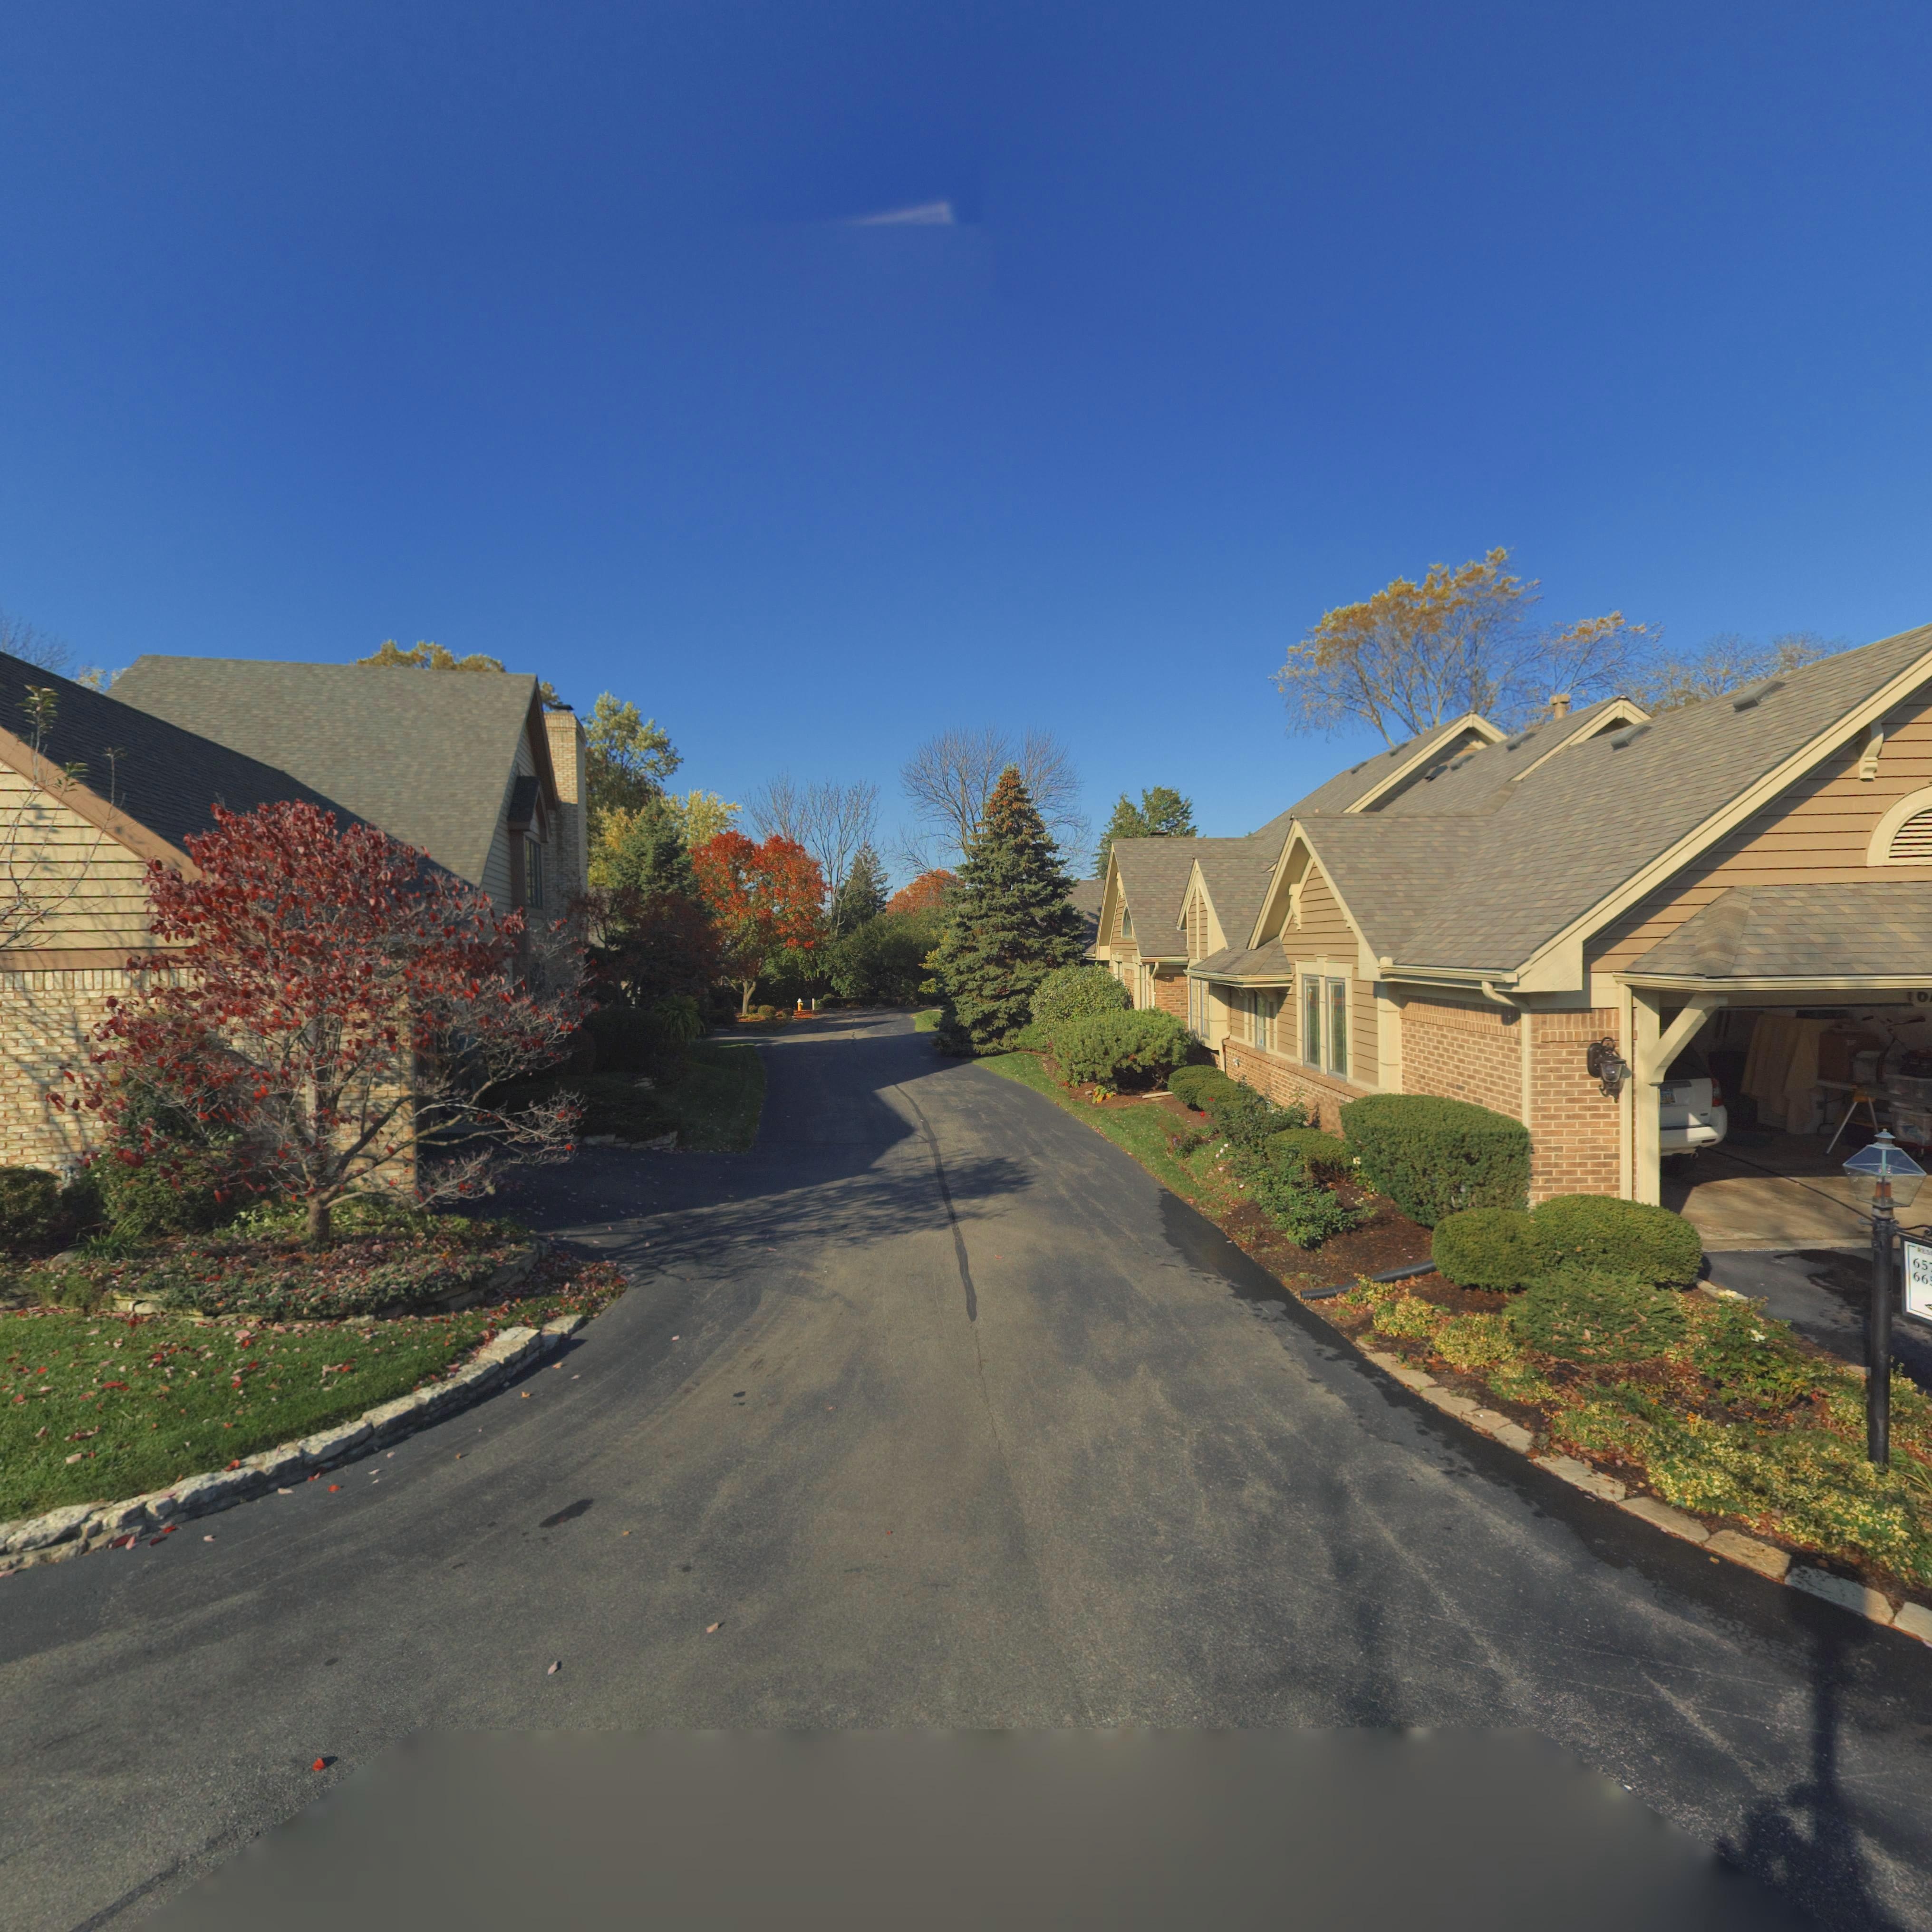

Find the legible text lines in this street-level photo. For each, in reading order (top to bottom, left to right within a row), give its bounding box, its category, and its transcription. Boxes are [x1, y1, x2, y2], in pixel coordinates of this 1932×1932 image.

[1912, 1256, 1930, 1273] StreetNumber: 65
[1912, 1270, 1930, 1286] StreetNumber: 66